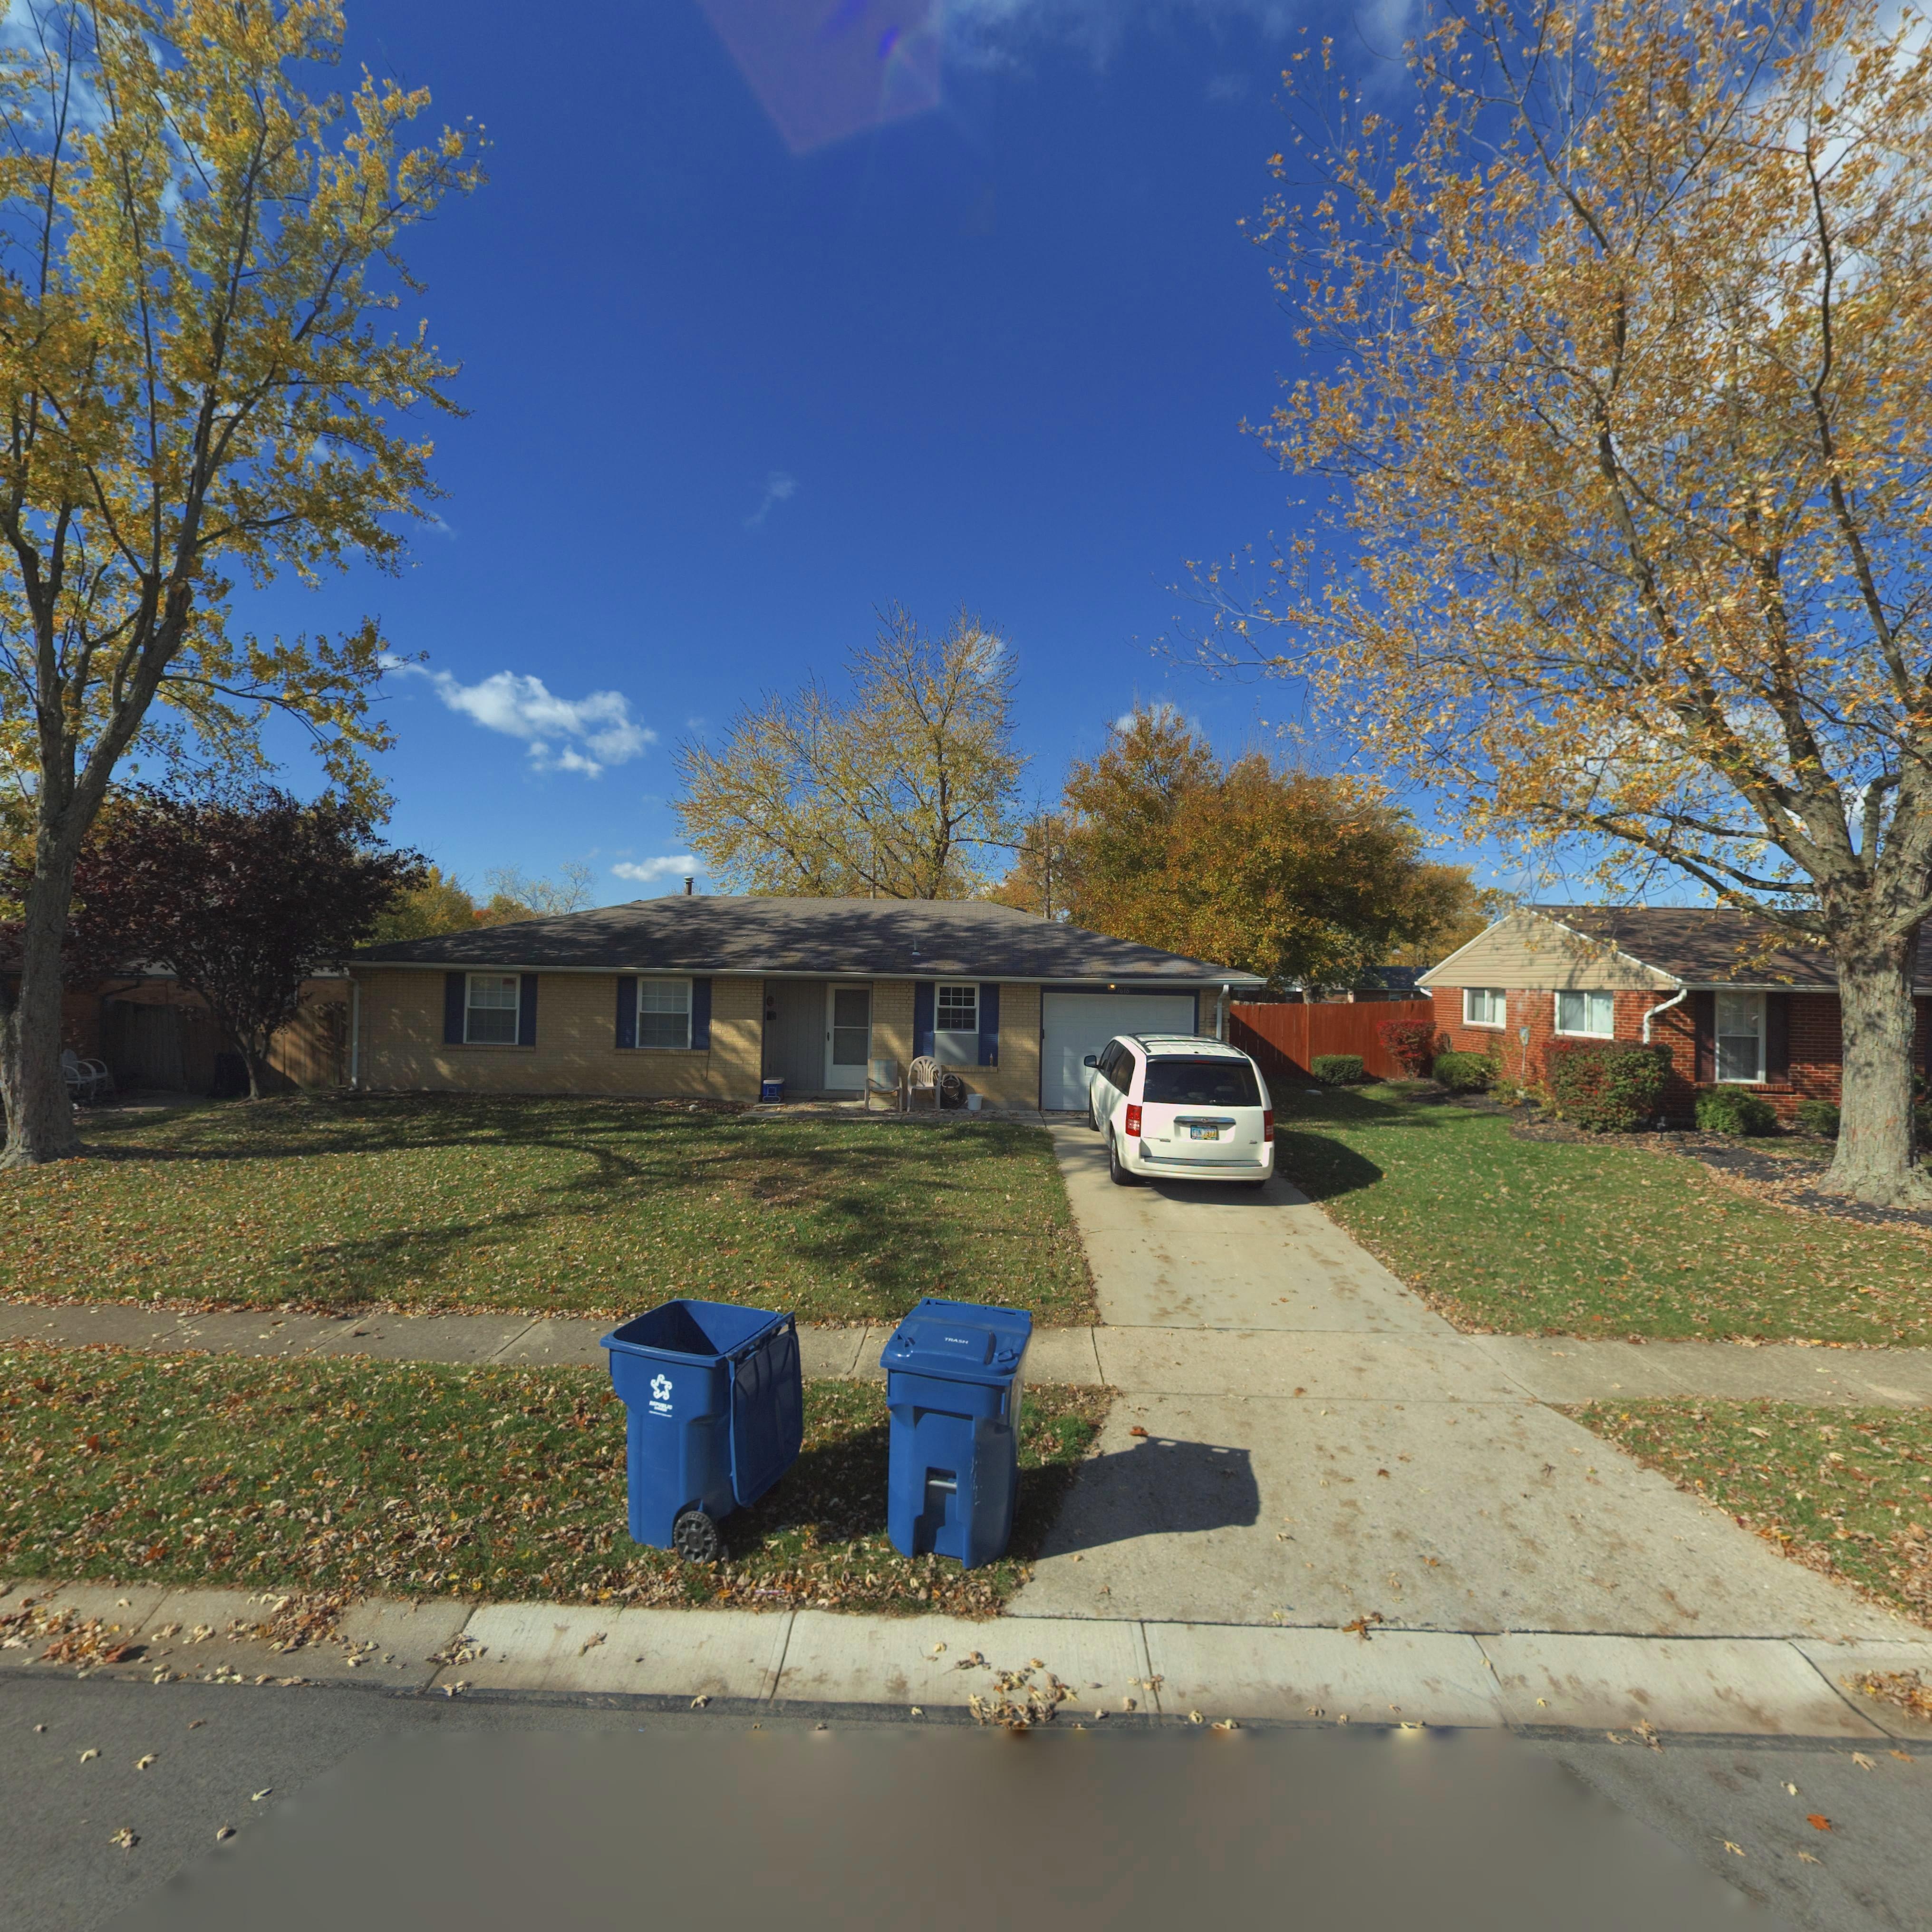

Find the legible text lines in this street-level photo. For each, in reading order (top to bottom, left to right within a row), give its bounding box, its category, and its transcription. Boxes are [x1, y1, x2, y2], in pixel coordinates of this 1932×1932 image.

[1115, 986, 1131, 995] StreetNumber: 7618